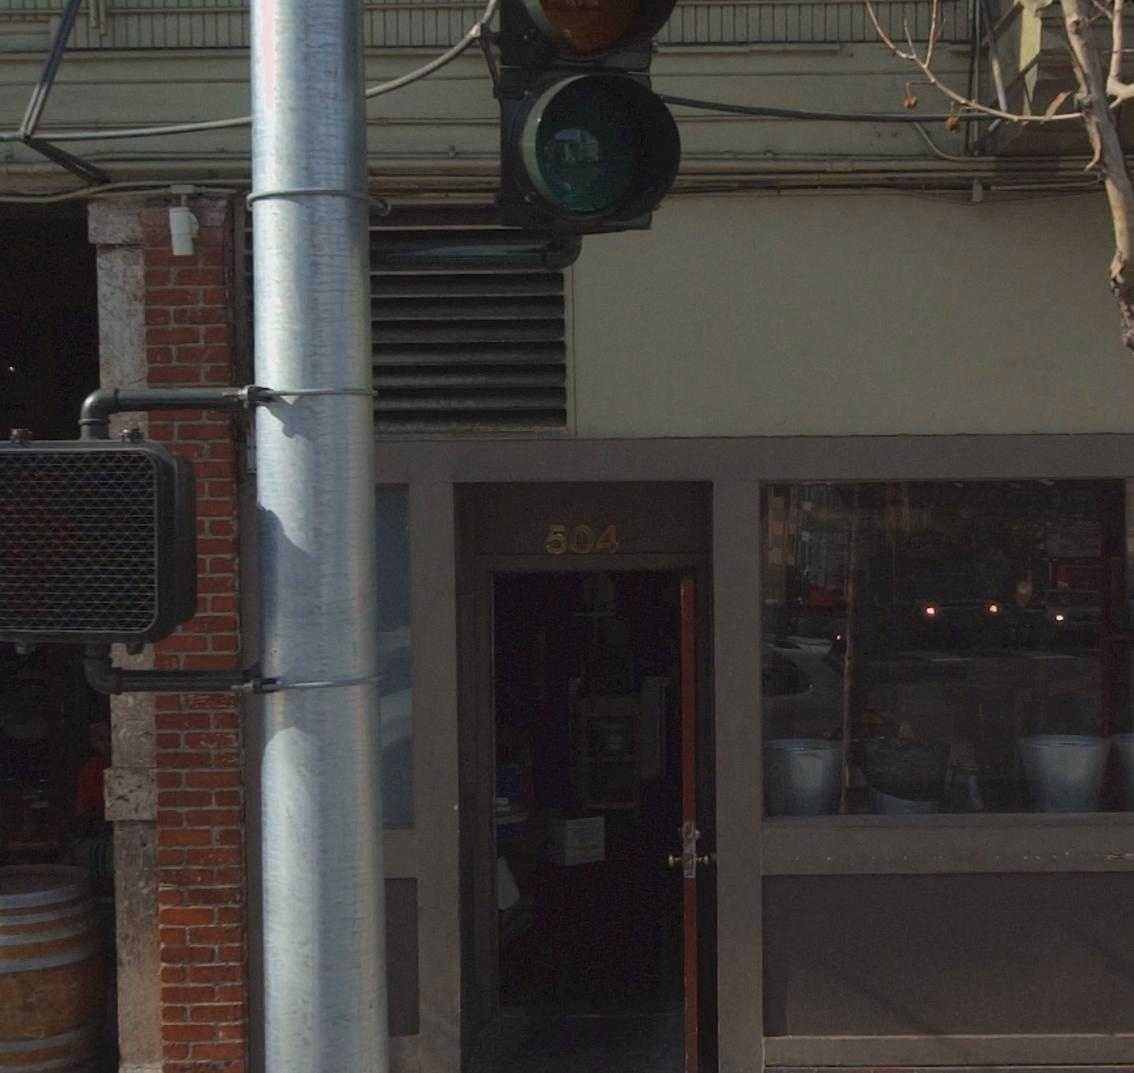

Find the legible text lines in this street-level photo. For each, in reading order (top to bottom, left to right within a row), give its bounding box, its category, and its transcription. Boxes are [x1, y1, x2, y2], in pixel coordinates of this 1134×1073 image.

[541, 519, 622, 560] StreetNumber: 504